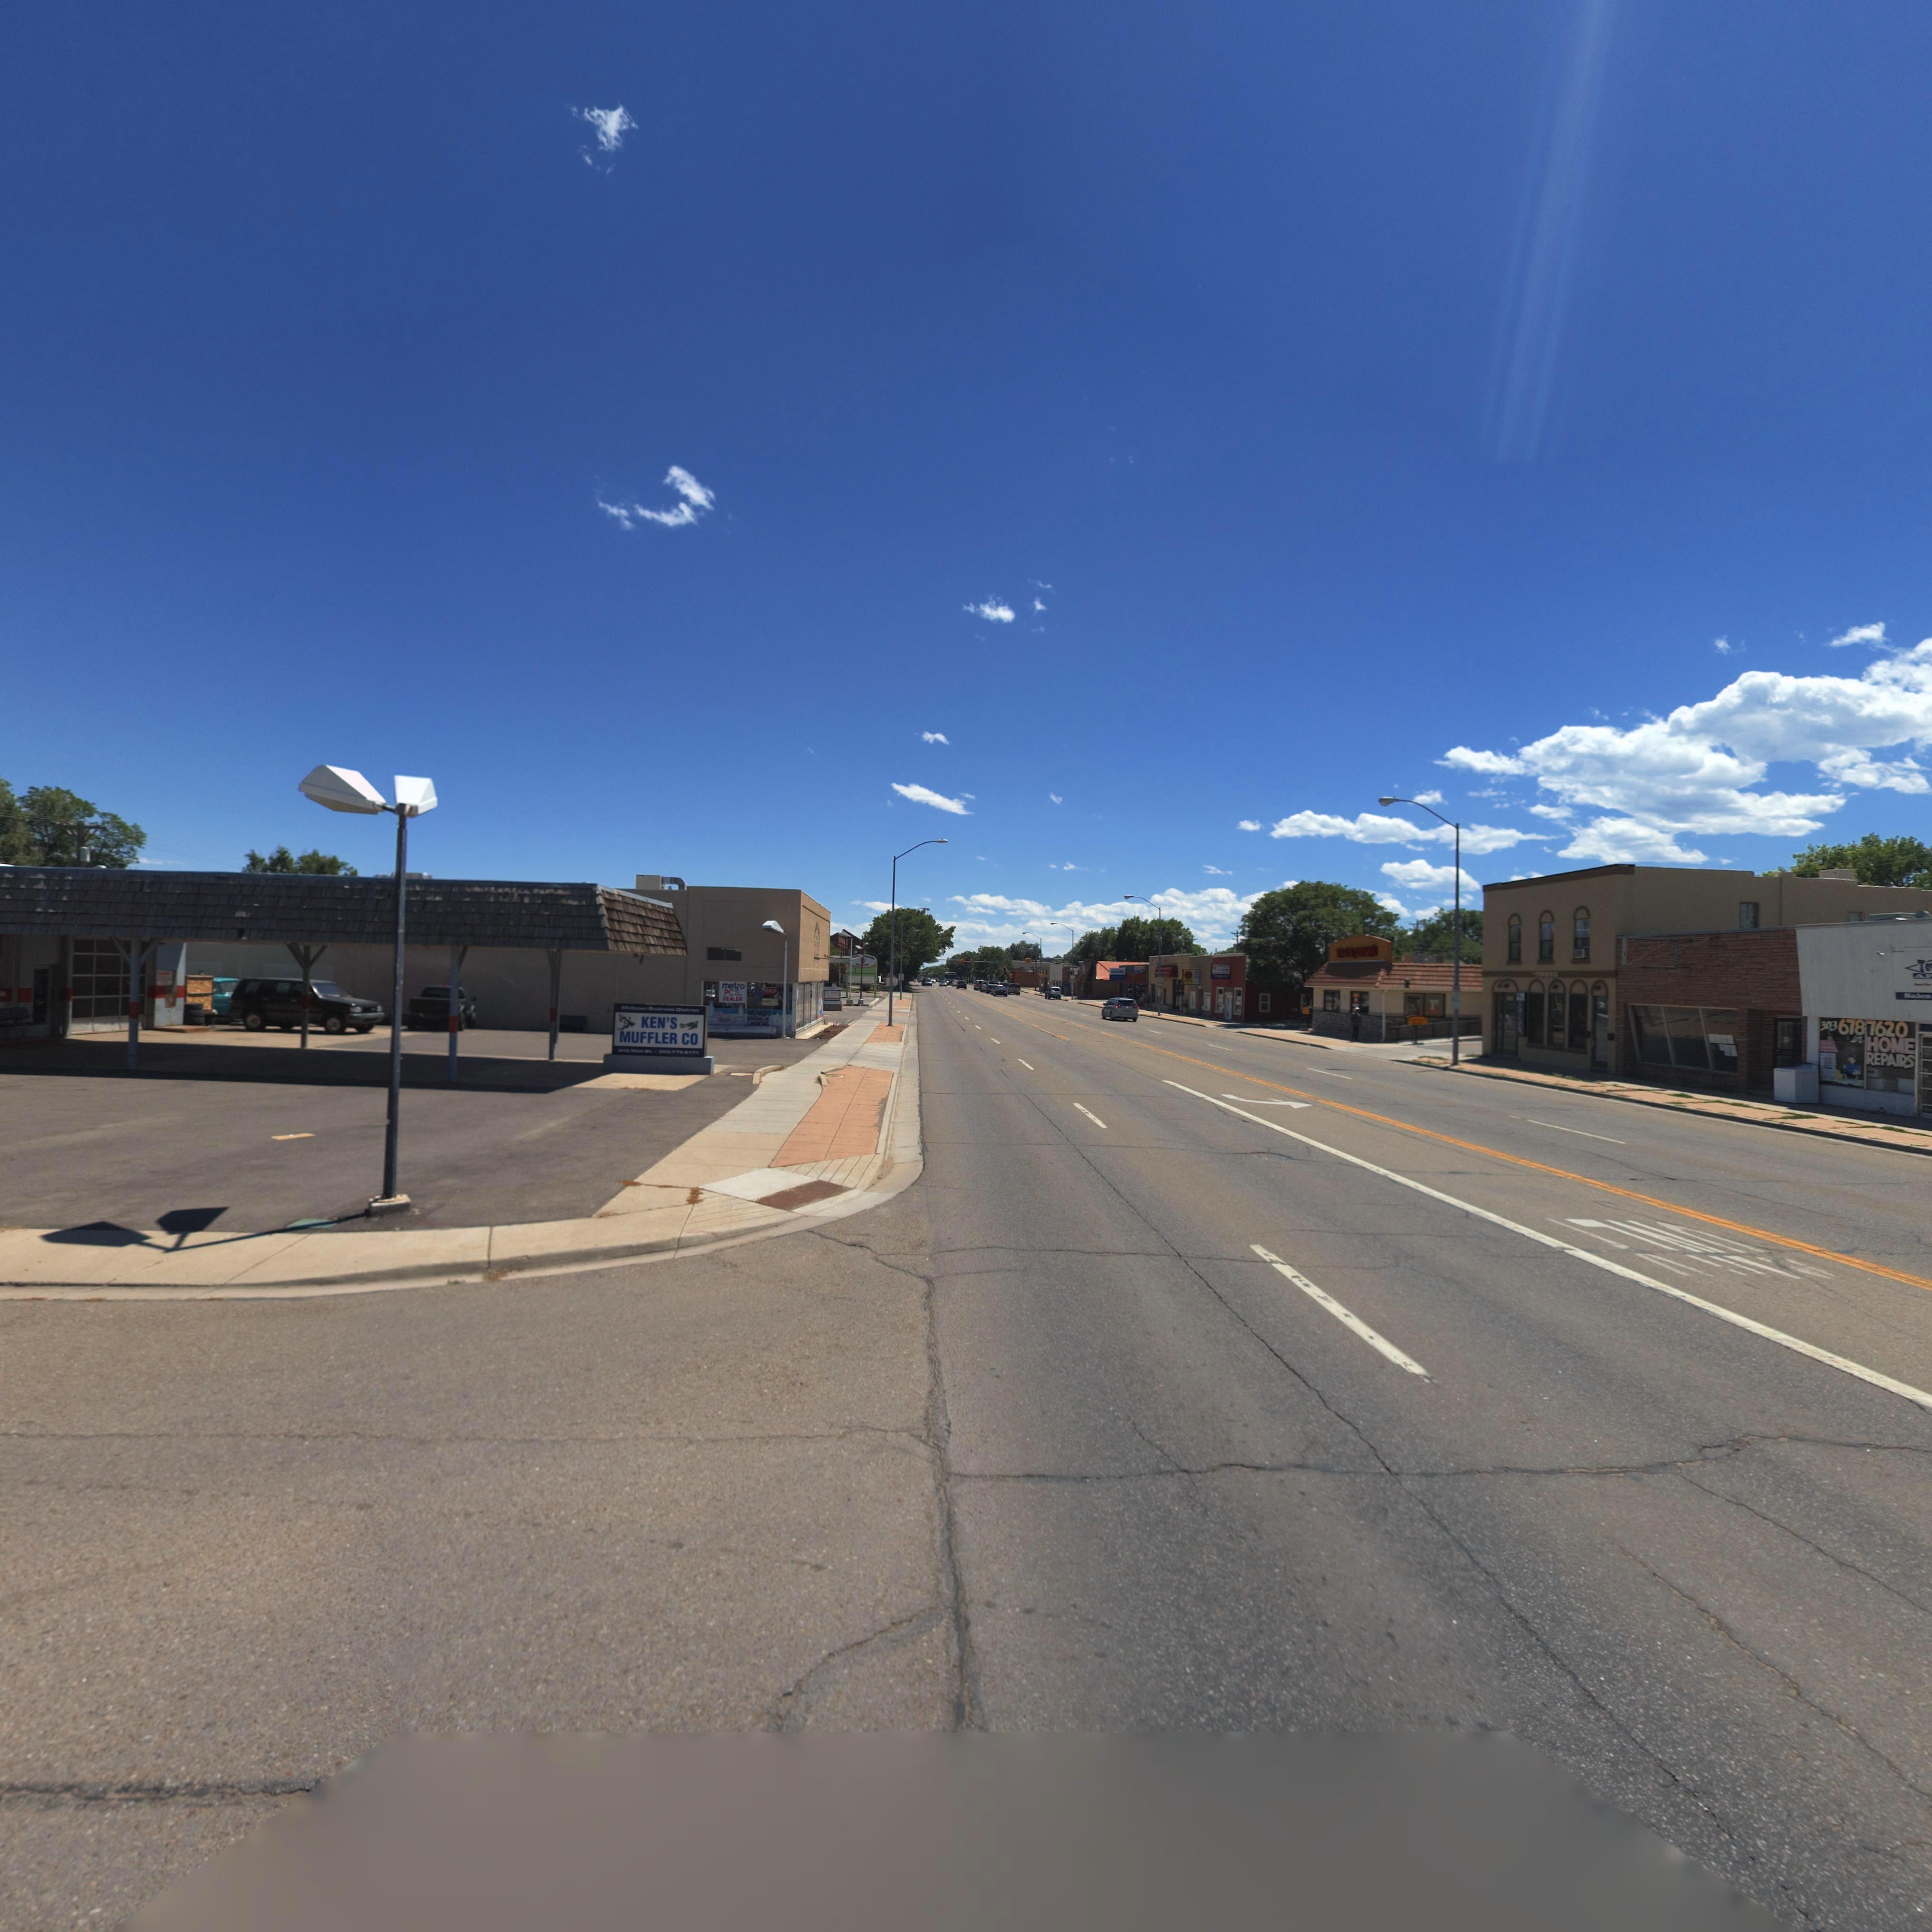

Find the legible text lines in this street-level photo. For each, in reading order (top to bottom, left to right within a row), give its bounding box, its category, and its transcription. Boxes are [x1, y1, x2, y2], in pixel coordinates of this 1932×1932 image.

[1917, 958, 1925, 973] BusinessName: T
[1536, 971, 1558, 977] None: ****NIX
[1913, 973, 1926, 978] BusinessName: A
[641, 1015, 677, 1029] BusinessName: KEN'S
[618, 1031, 698, 1045] BusinessName: MUFFLER CO
[630, 1049, 653, 1053] StreetName: Main St